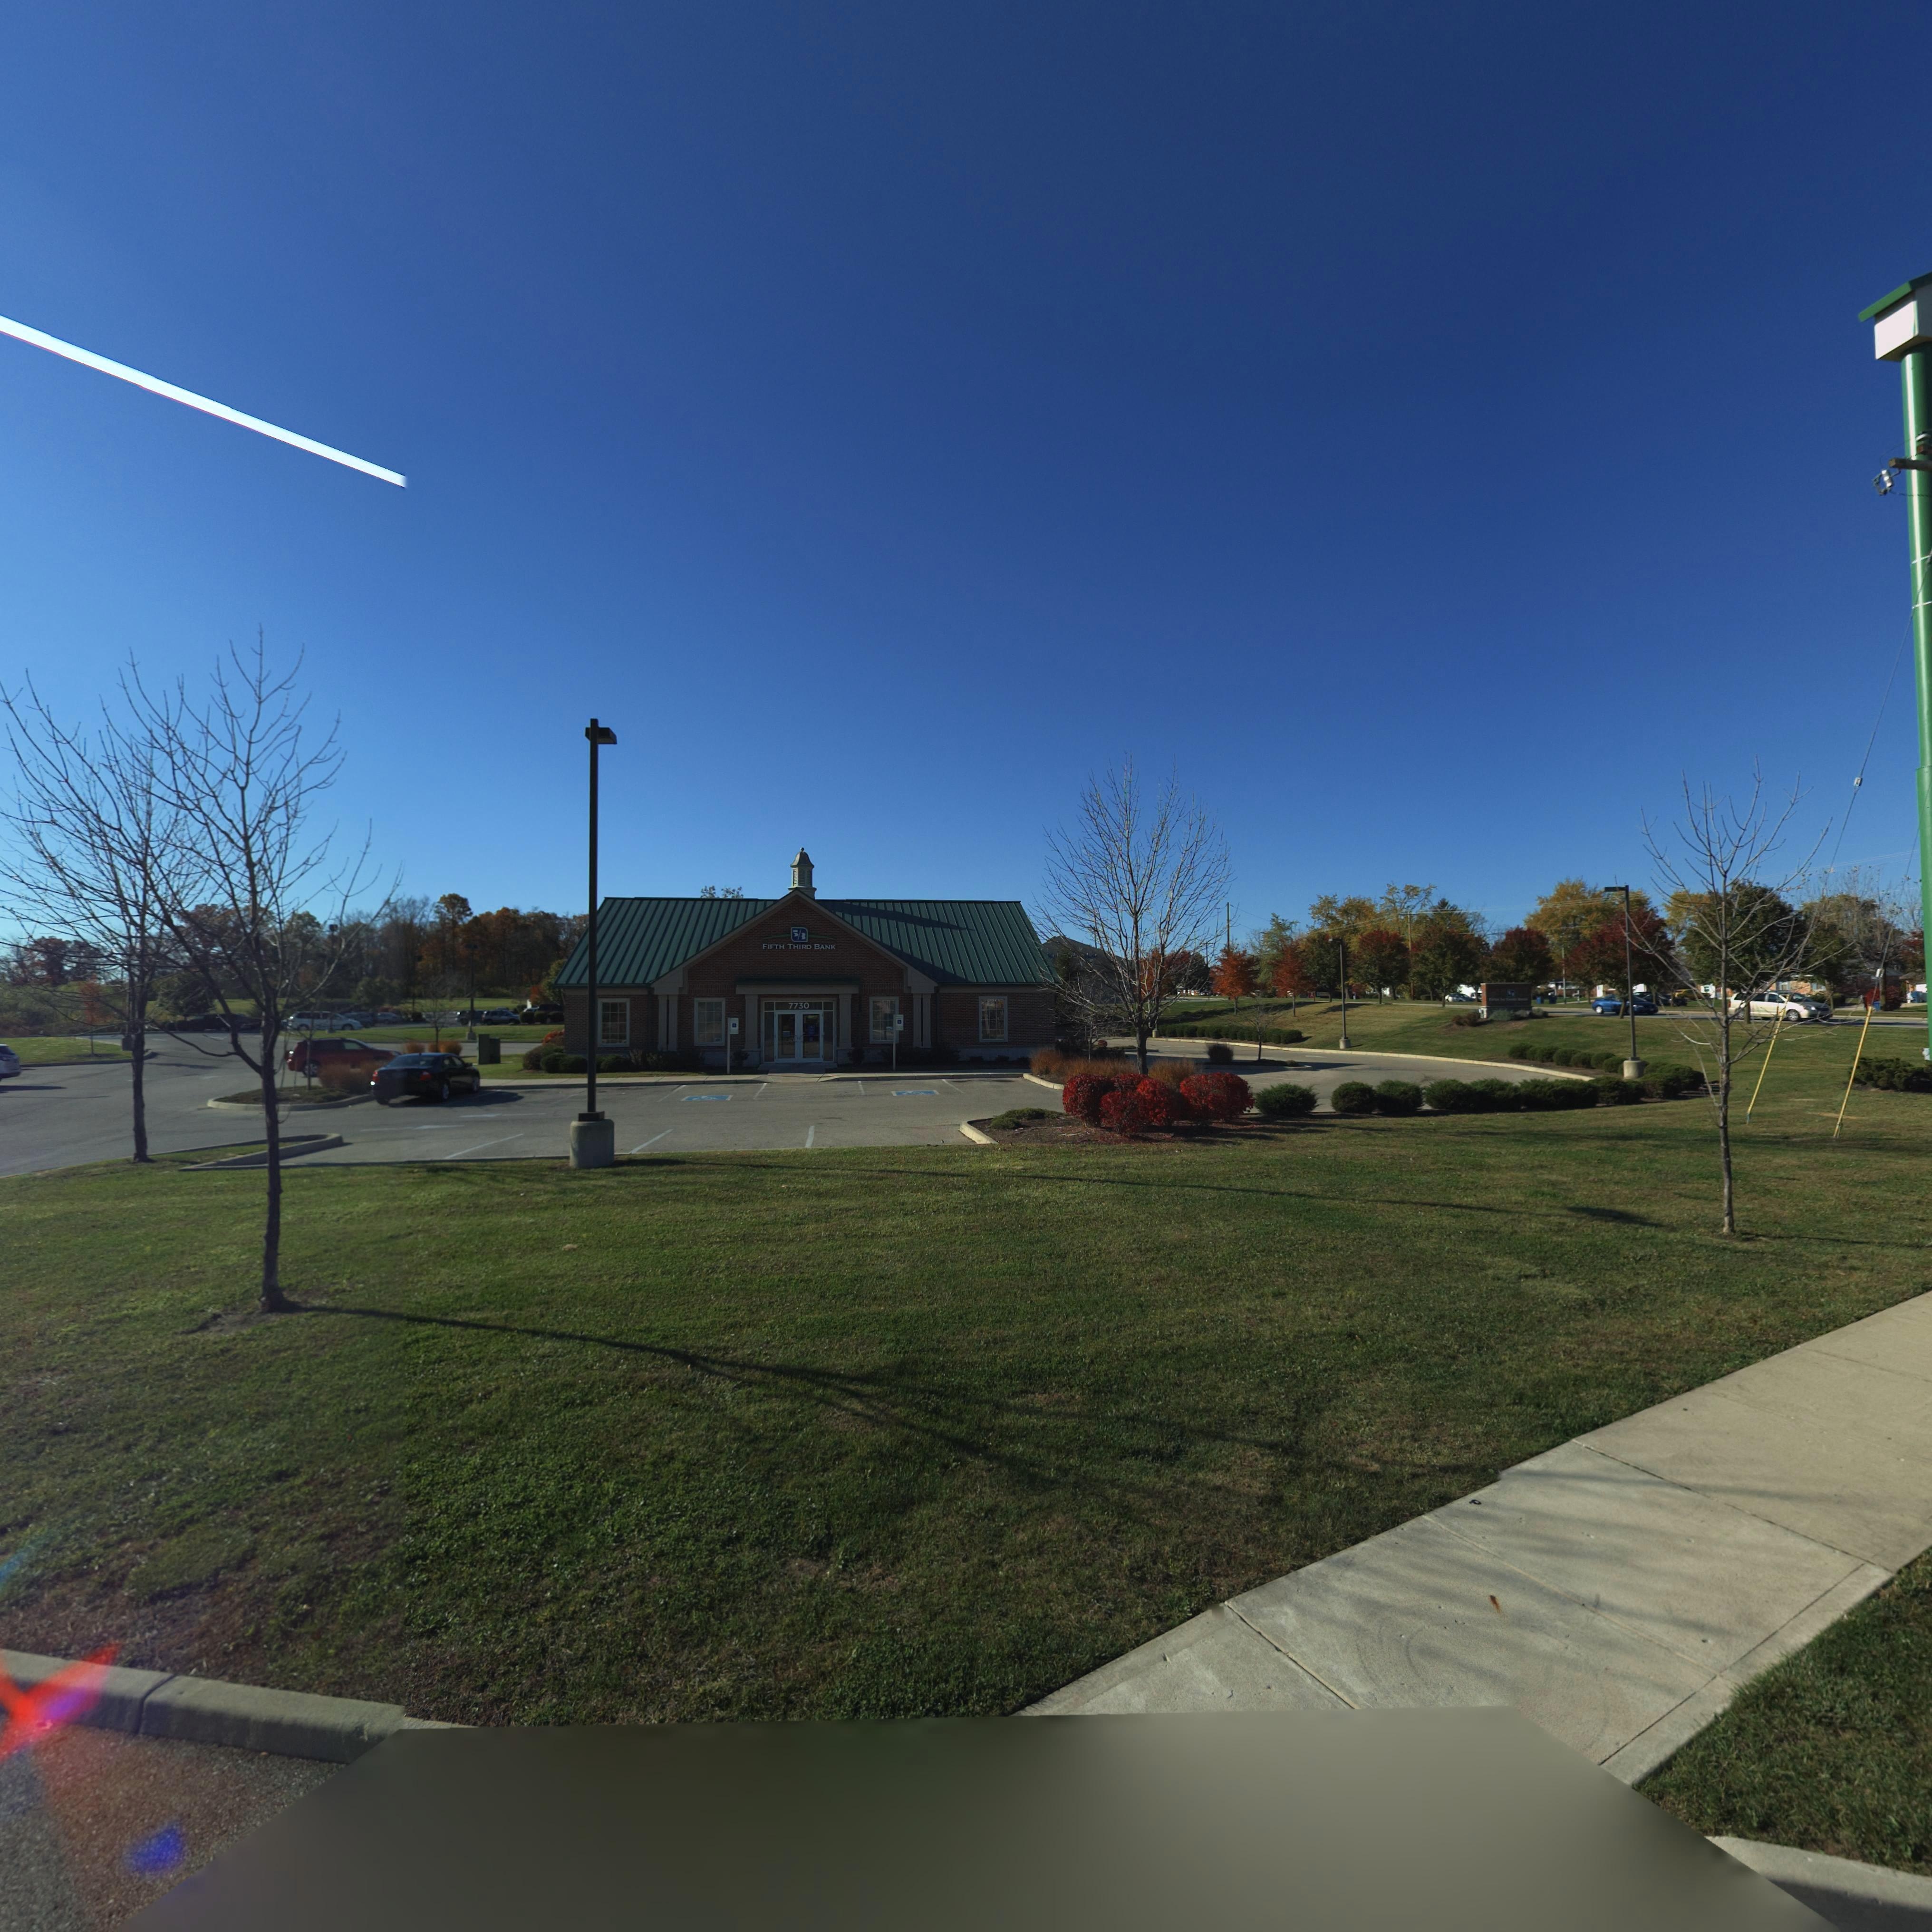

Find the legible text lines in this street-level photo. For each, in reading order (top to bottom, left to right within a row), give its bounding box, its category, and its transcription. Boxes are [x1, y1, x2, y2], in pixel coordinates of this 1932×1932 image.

[762, 943, 836, 951] BusinessName: FIFTH THIRD BANK
[788, 1002, 810, 1010] StreetNumber: 7730